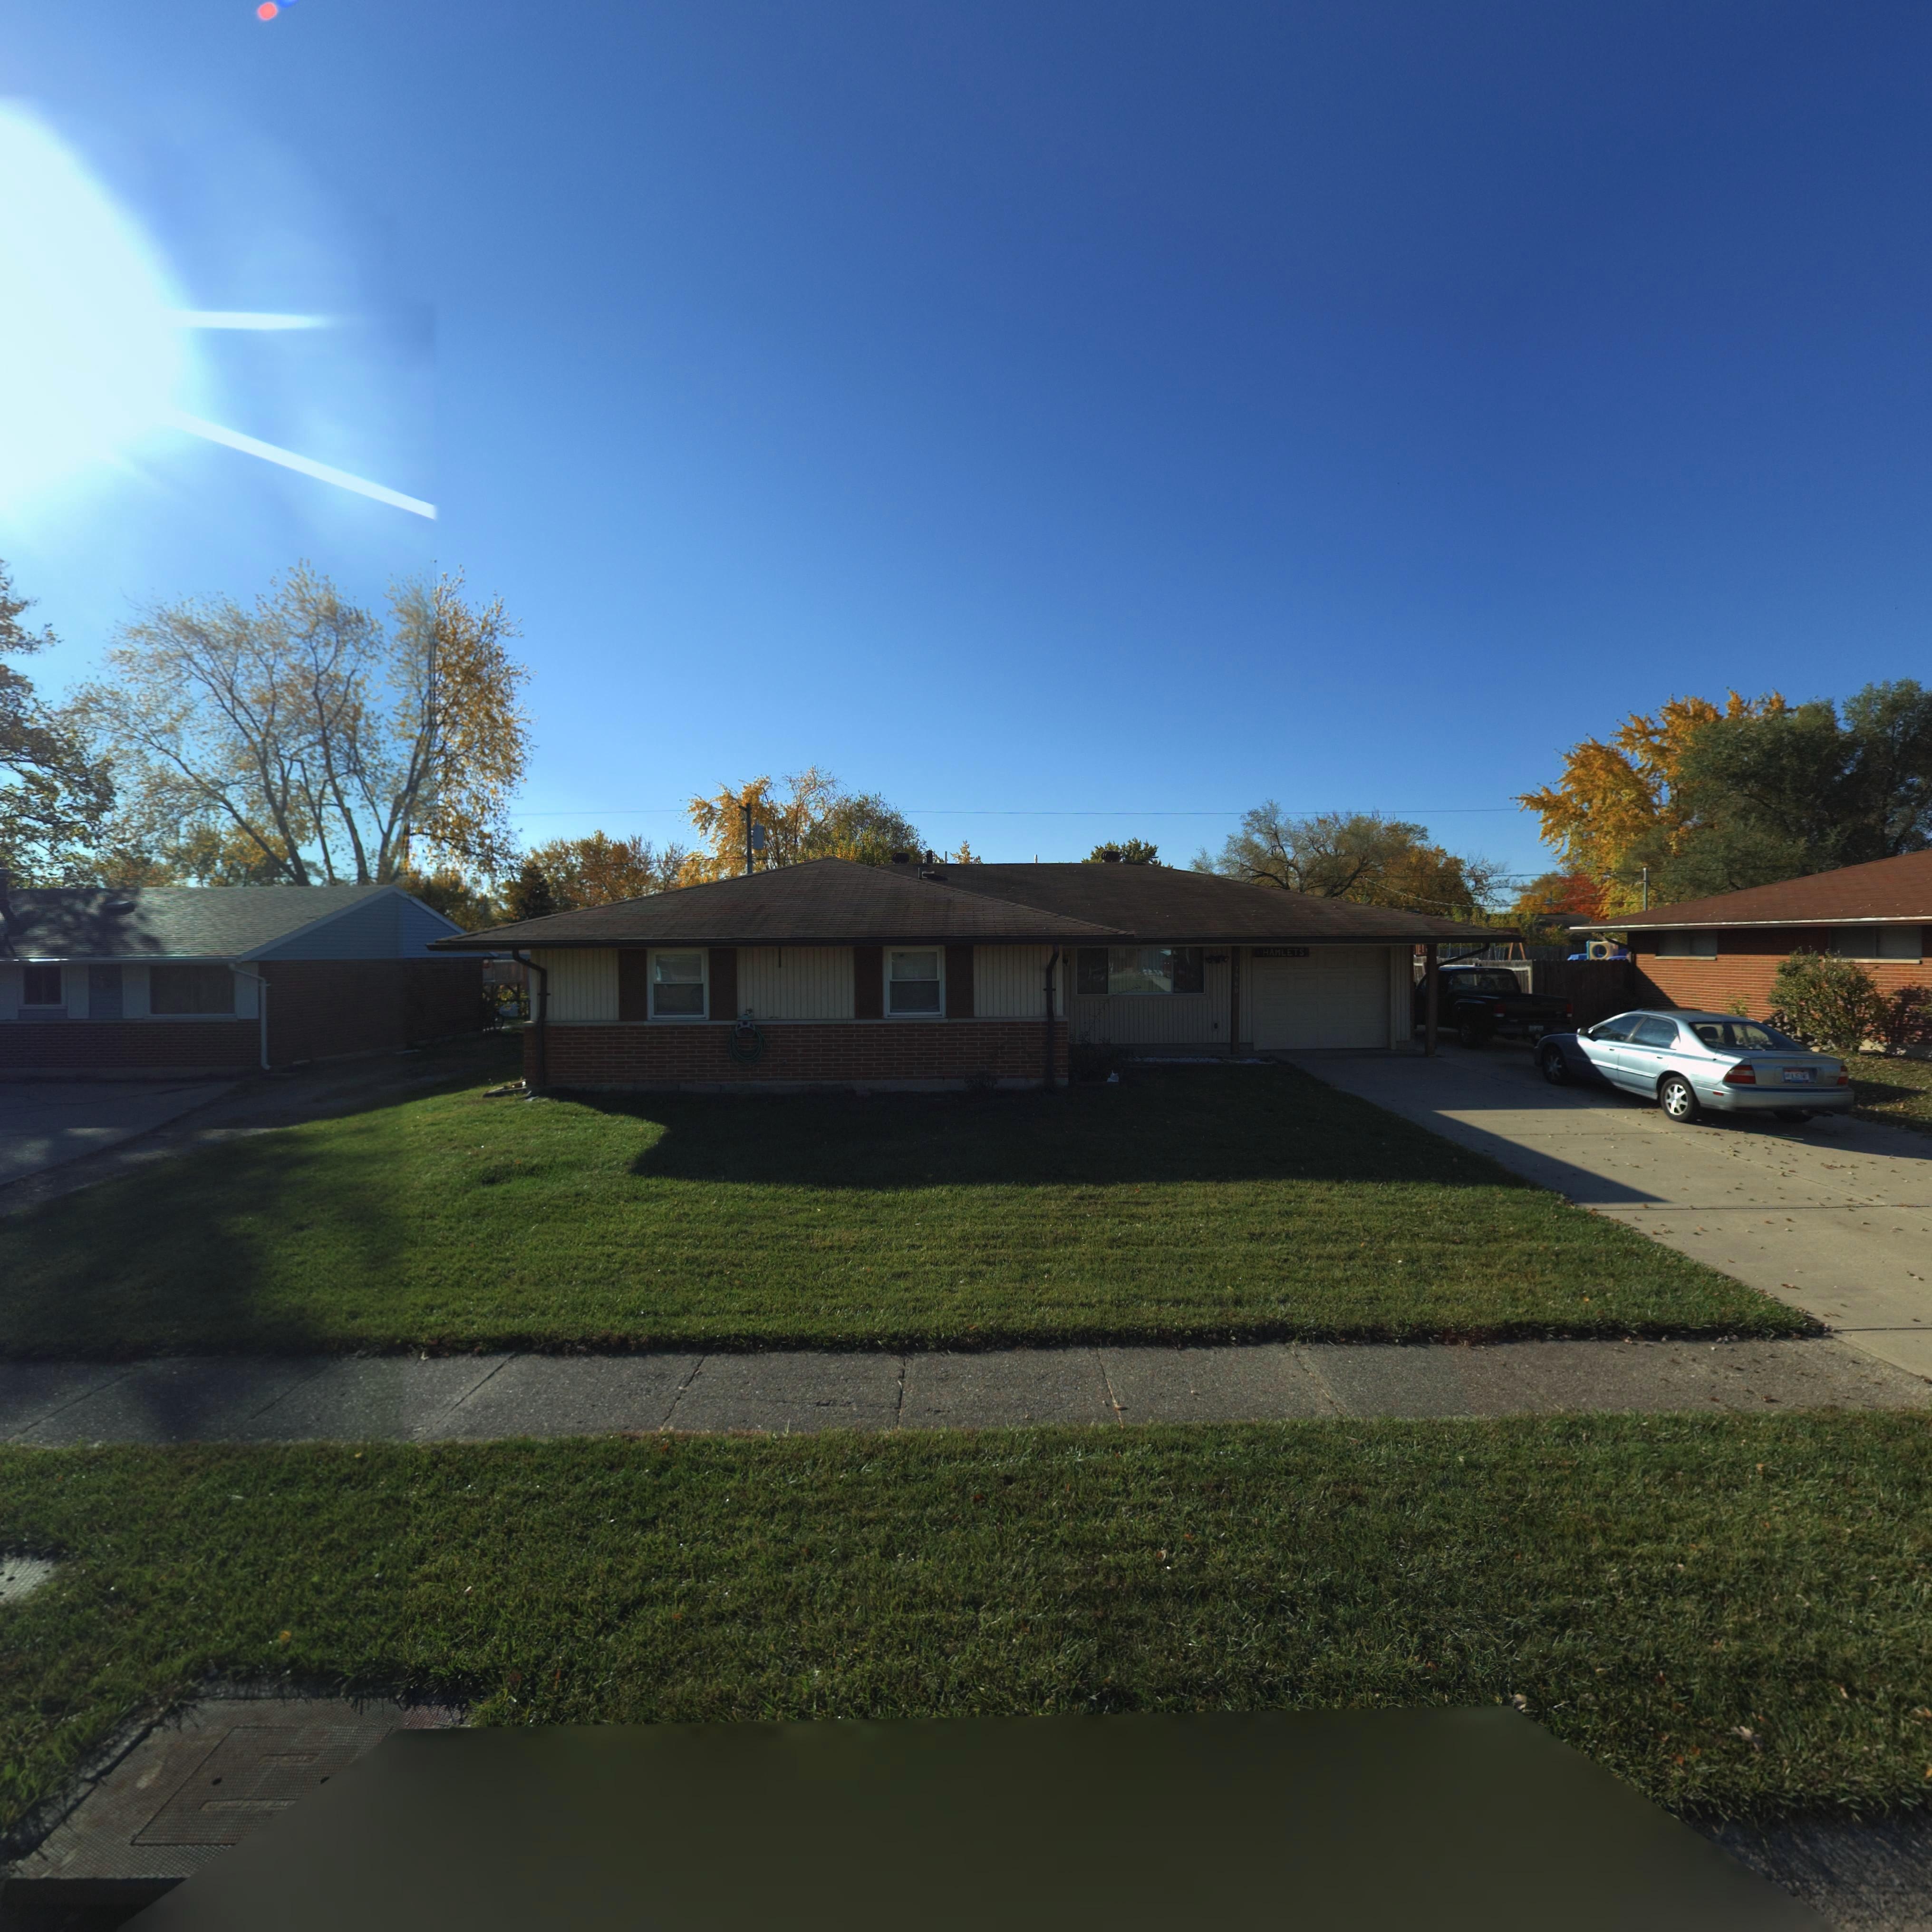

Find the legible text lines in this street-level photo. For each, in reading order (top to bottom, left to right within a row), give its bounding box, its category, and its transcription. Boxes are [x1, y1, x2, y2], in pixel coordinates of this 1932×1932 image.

[1233, 965, 1240, 995] StreetNumber: 7*60